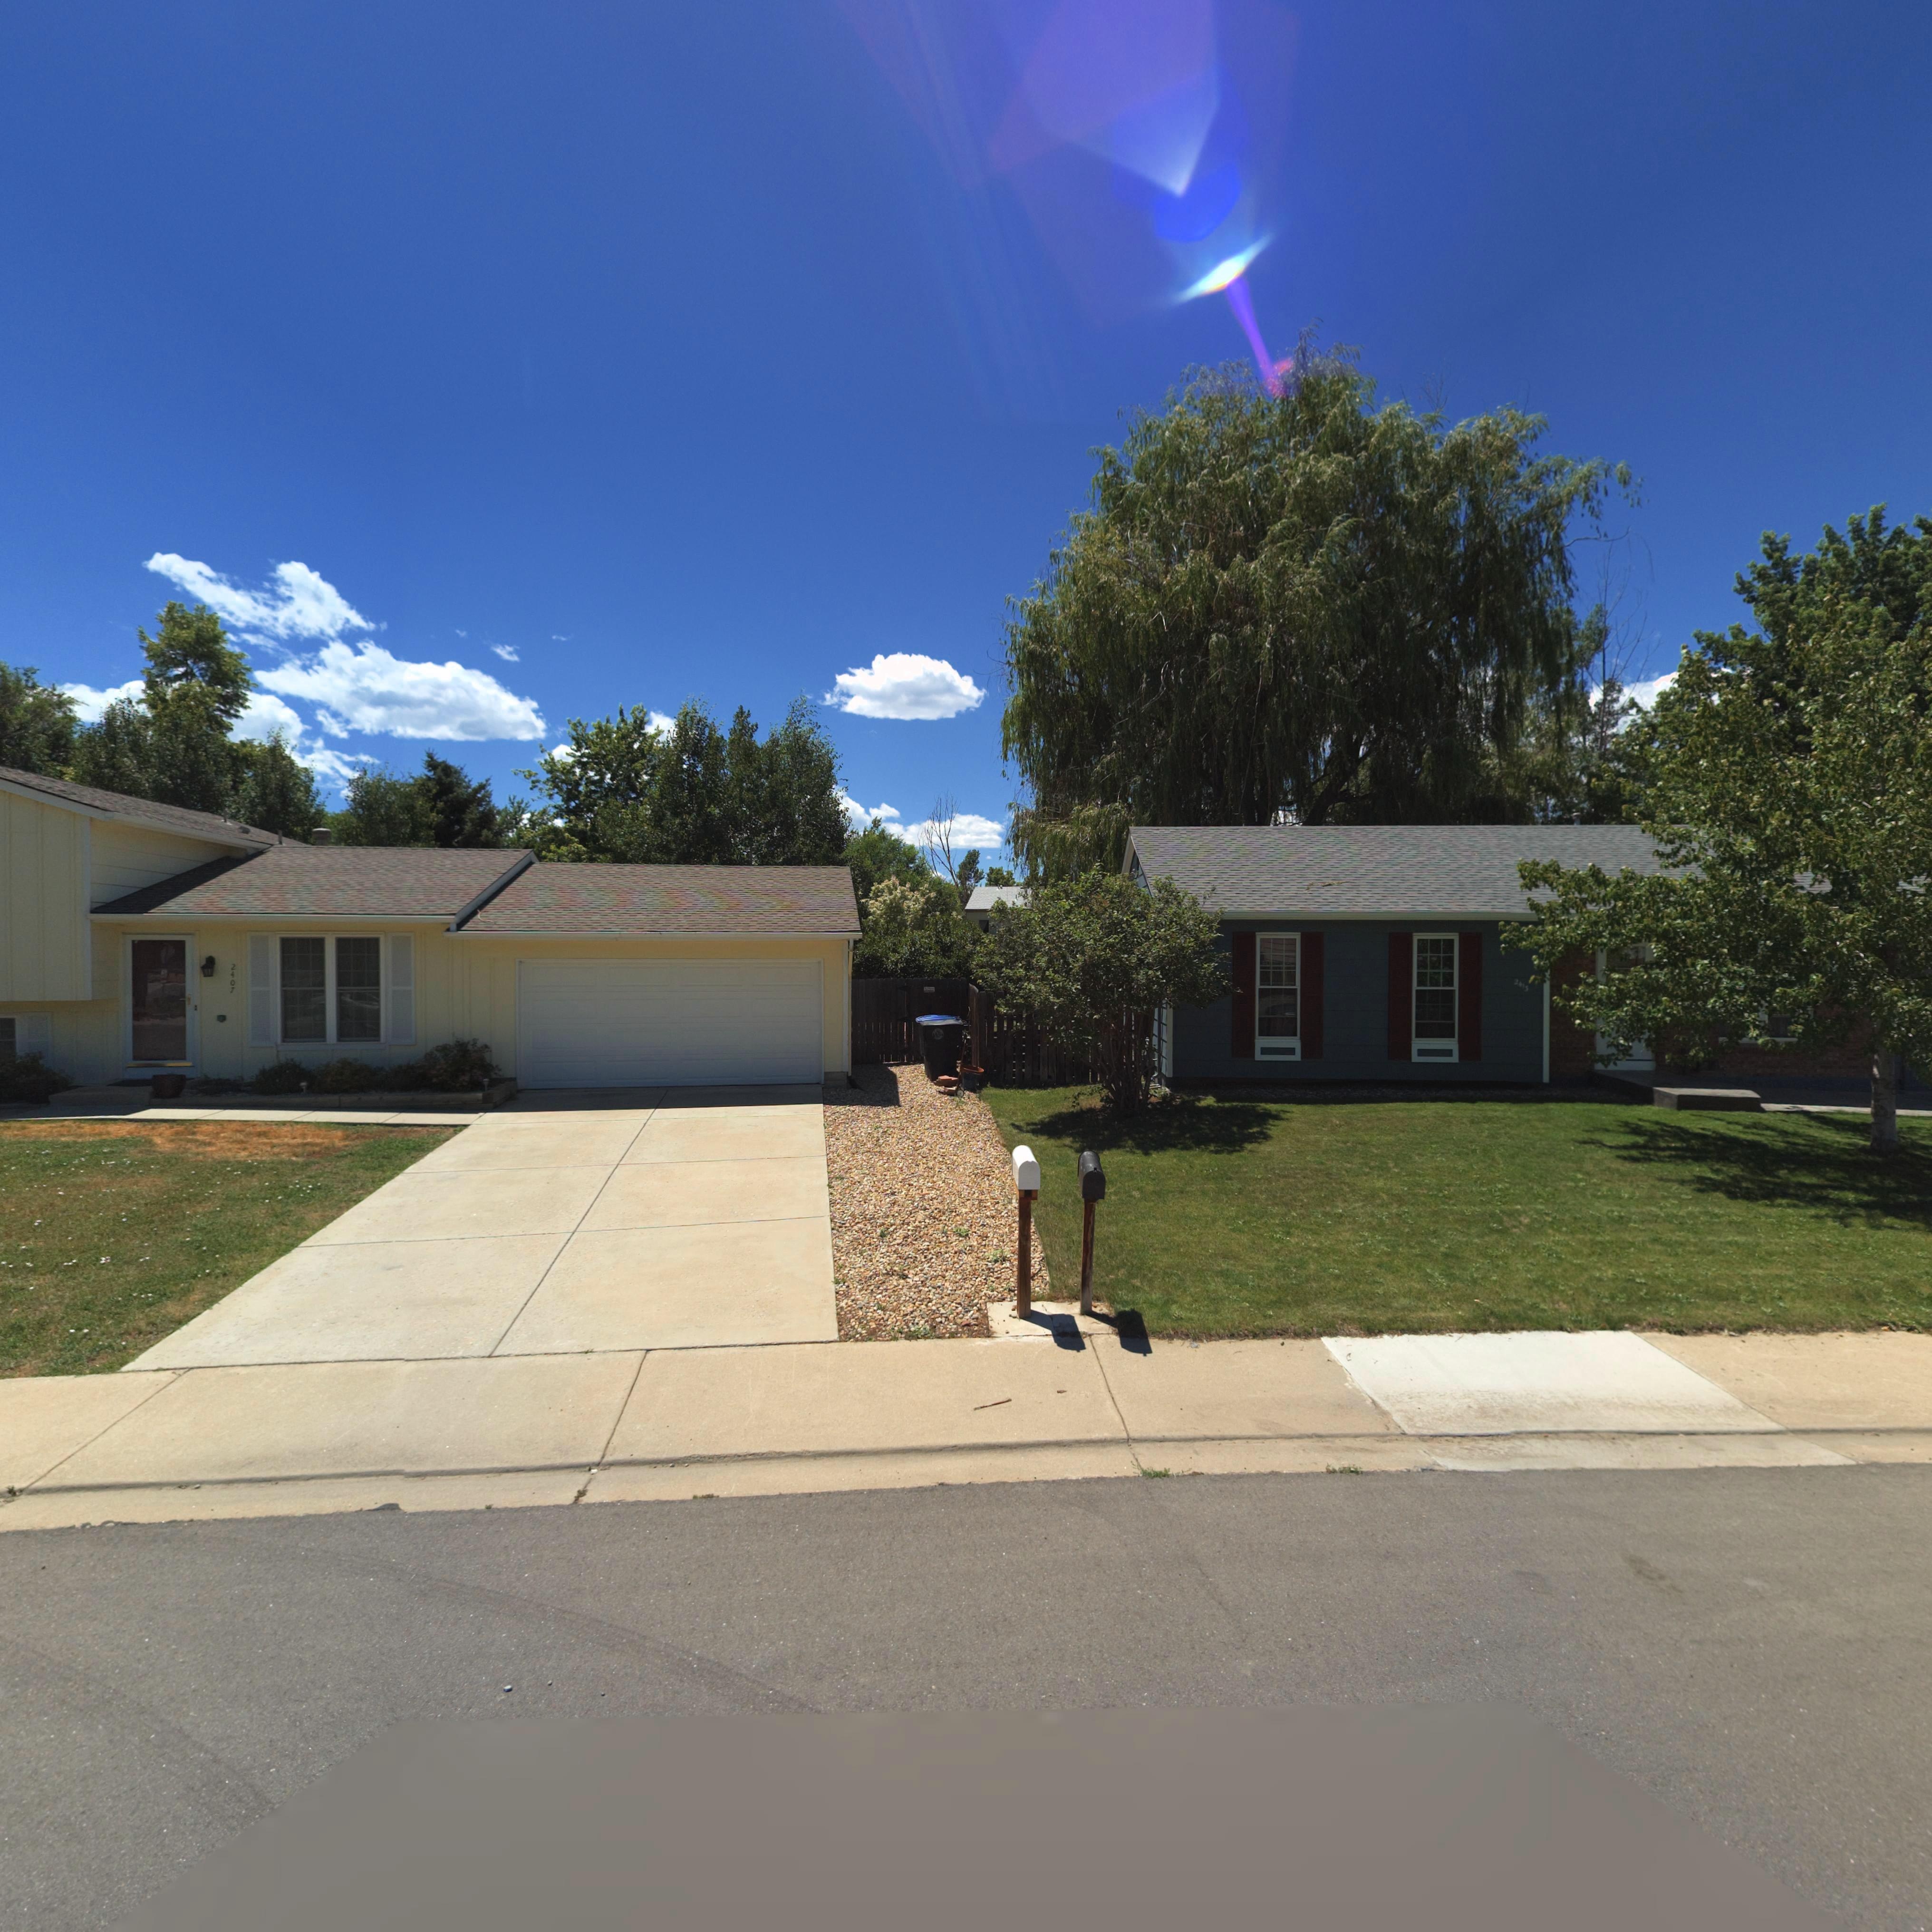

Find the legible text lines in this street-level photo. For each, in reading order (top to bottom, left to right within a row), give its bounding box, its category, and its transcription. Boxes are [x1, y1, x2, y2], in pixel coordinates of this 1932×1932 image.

[230, 963, 236, 993] StreetNumber: 2407